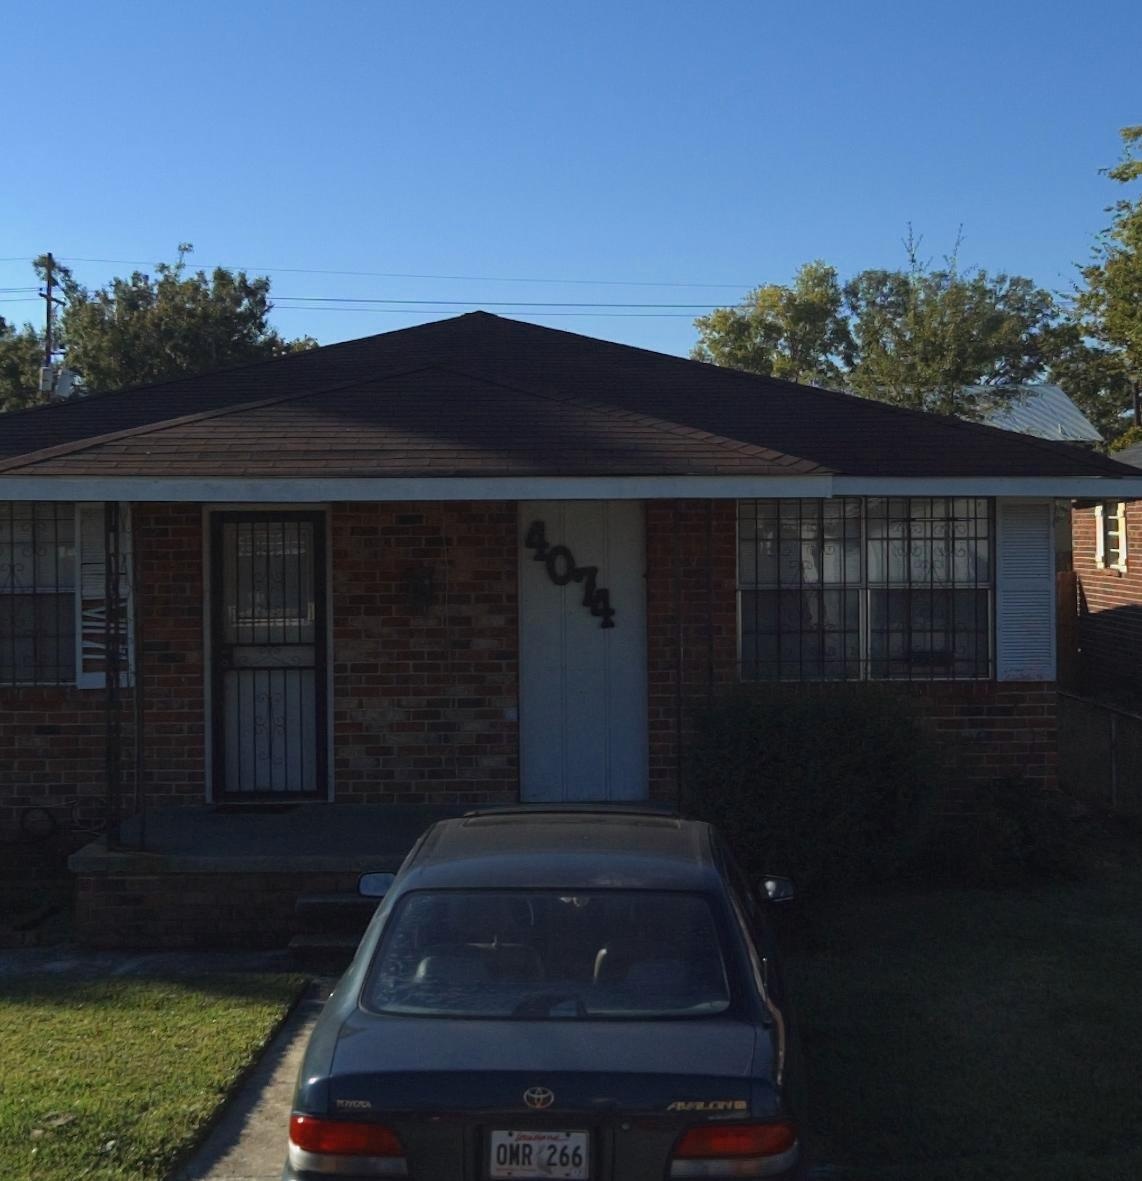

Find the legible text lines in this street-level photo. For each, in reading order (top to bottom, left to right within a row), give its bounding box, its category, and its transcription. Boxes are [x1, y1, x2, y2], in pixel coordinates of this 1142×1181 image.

[521, 516, 618, 634] StreetNumber: 4074
[493, 1139, 585, 1170] None: OMR 266